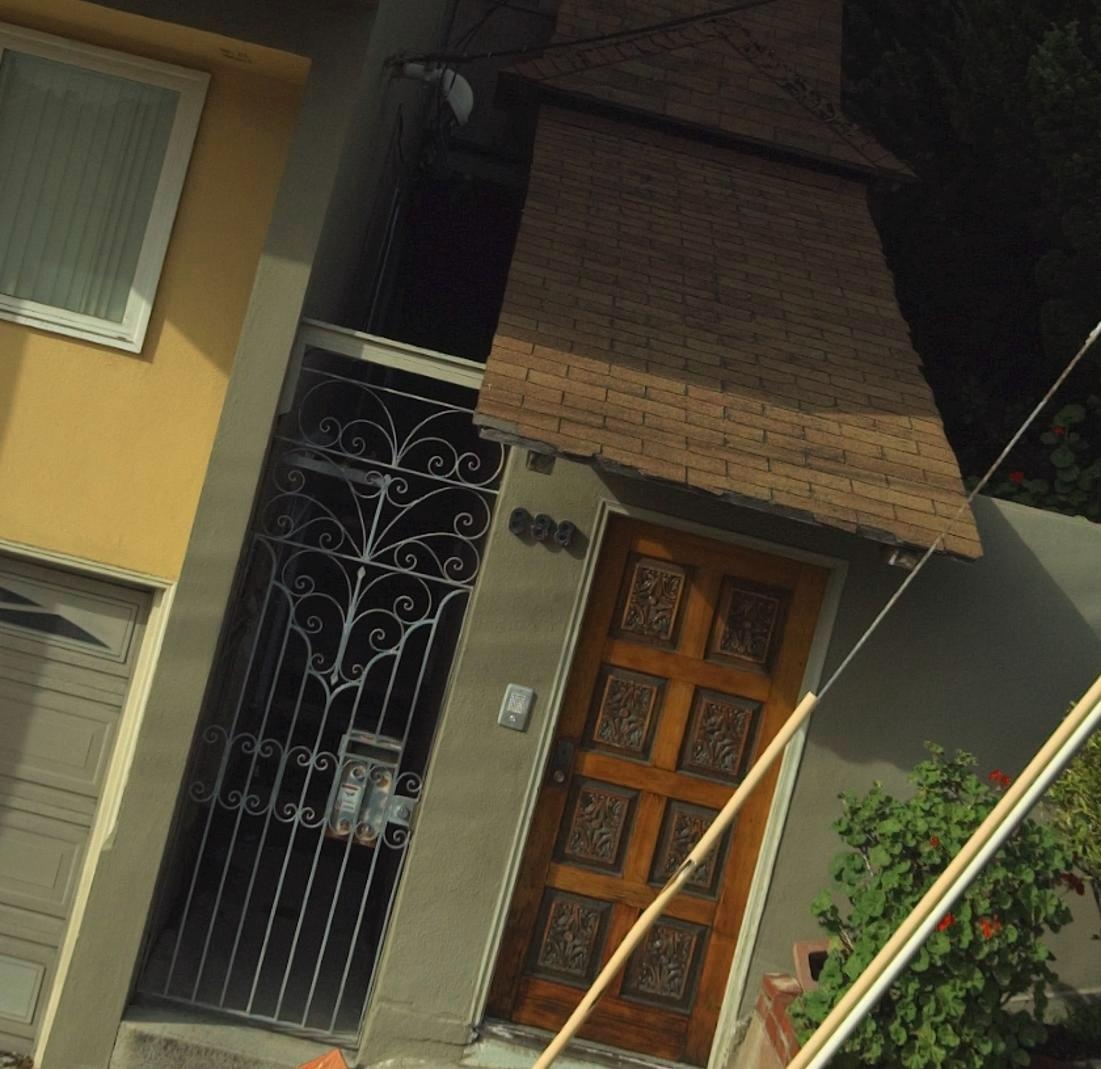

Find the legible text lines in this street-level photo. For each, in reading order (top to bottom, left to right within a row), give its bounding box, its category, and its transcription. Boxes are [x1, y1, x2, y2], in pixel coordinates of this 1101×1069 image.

[507, 505, 576, 549] StreetNumber: 688